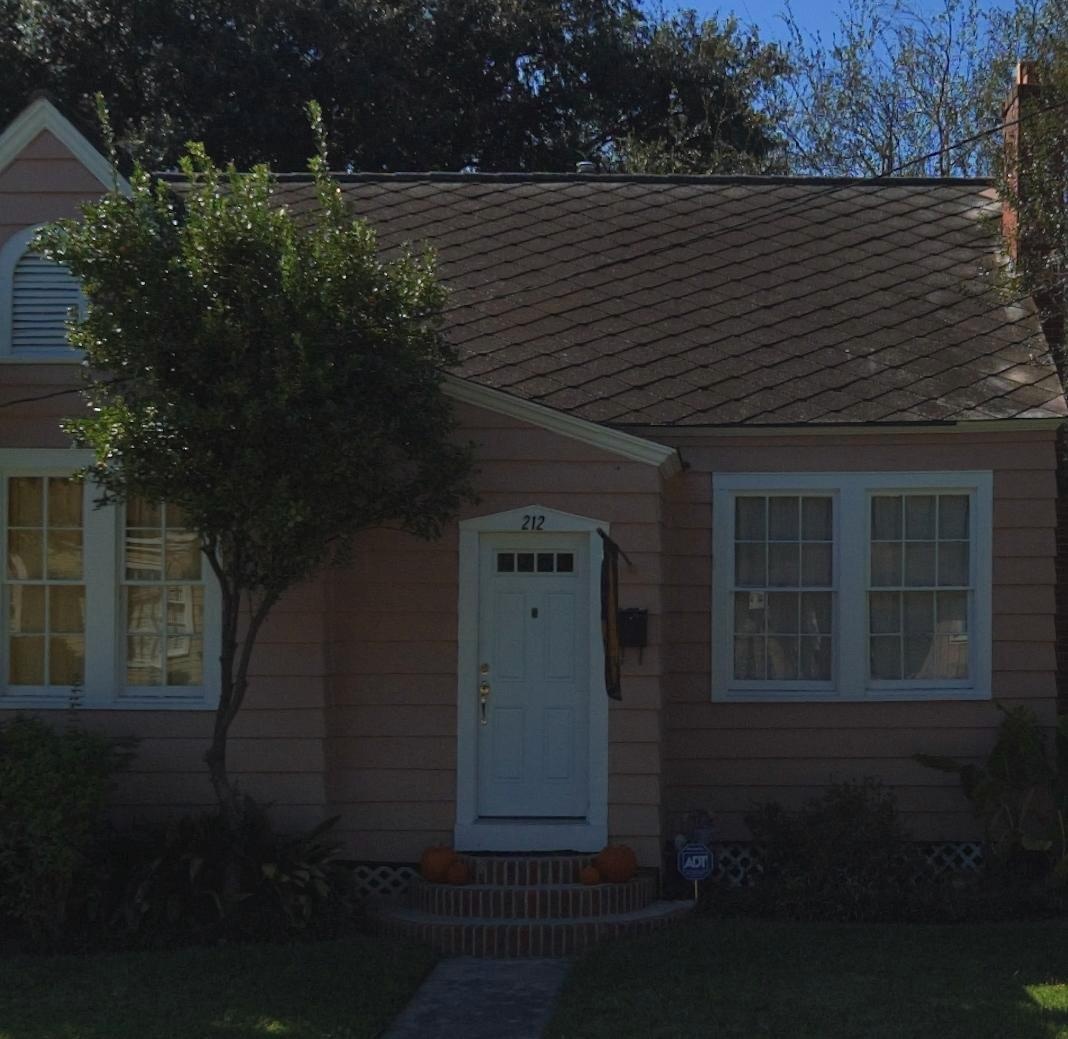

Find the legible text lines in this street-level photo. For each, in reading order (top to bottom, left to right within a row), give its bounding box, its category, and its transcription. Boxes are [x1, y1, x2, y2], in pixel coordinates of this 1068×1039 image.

[519, 513, 547, 532] StreetNumber: 212
[682, 854, 709, 870] None: ADT